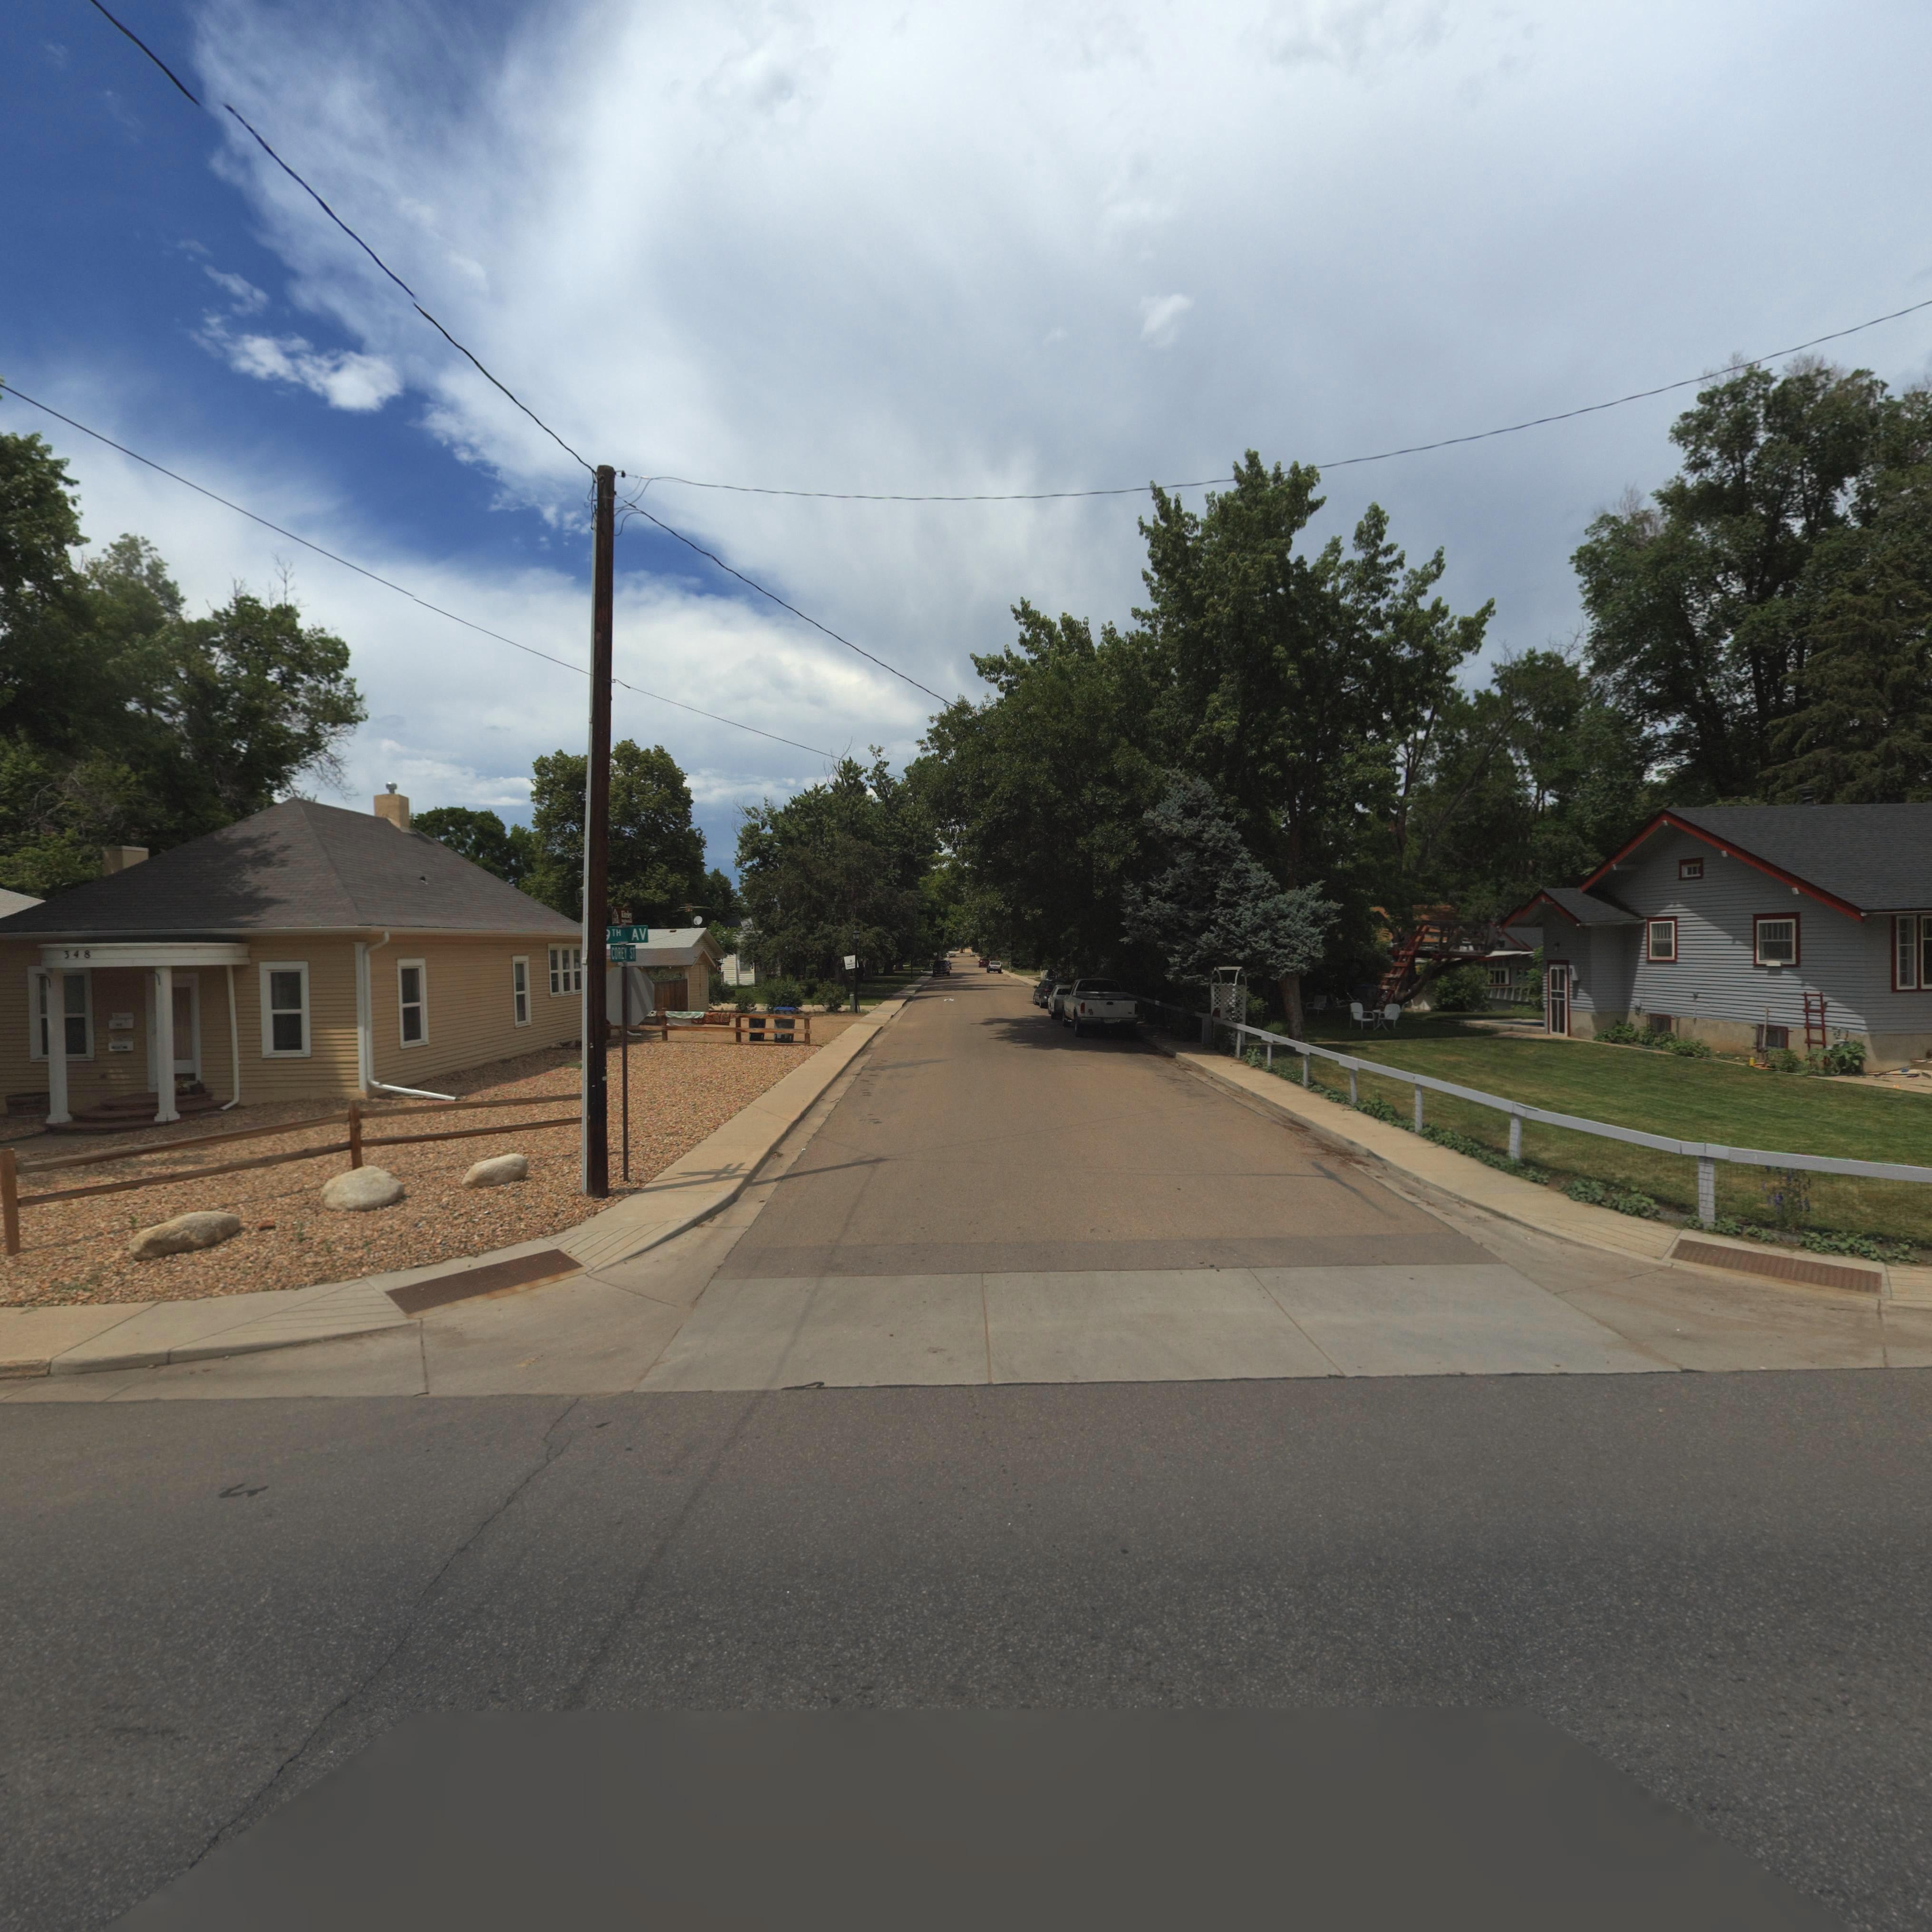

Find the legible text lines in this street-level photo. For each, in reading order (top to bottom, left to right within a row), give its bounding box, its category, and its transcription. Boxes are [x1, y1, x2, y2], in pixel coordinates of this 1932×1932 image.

[605, 927, 647, 941] StreetName: *TH AV 
[64, 949, 90, 959] StreetNumber: 348
[611, 947, 635, 960] StreetName: COREY ST